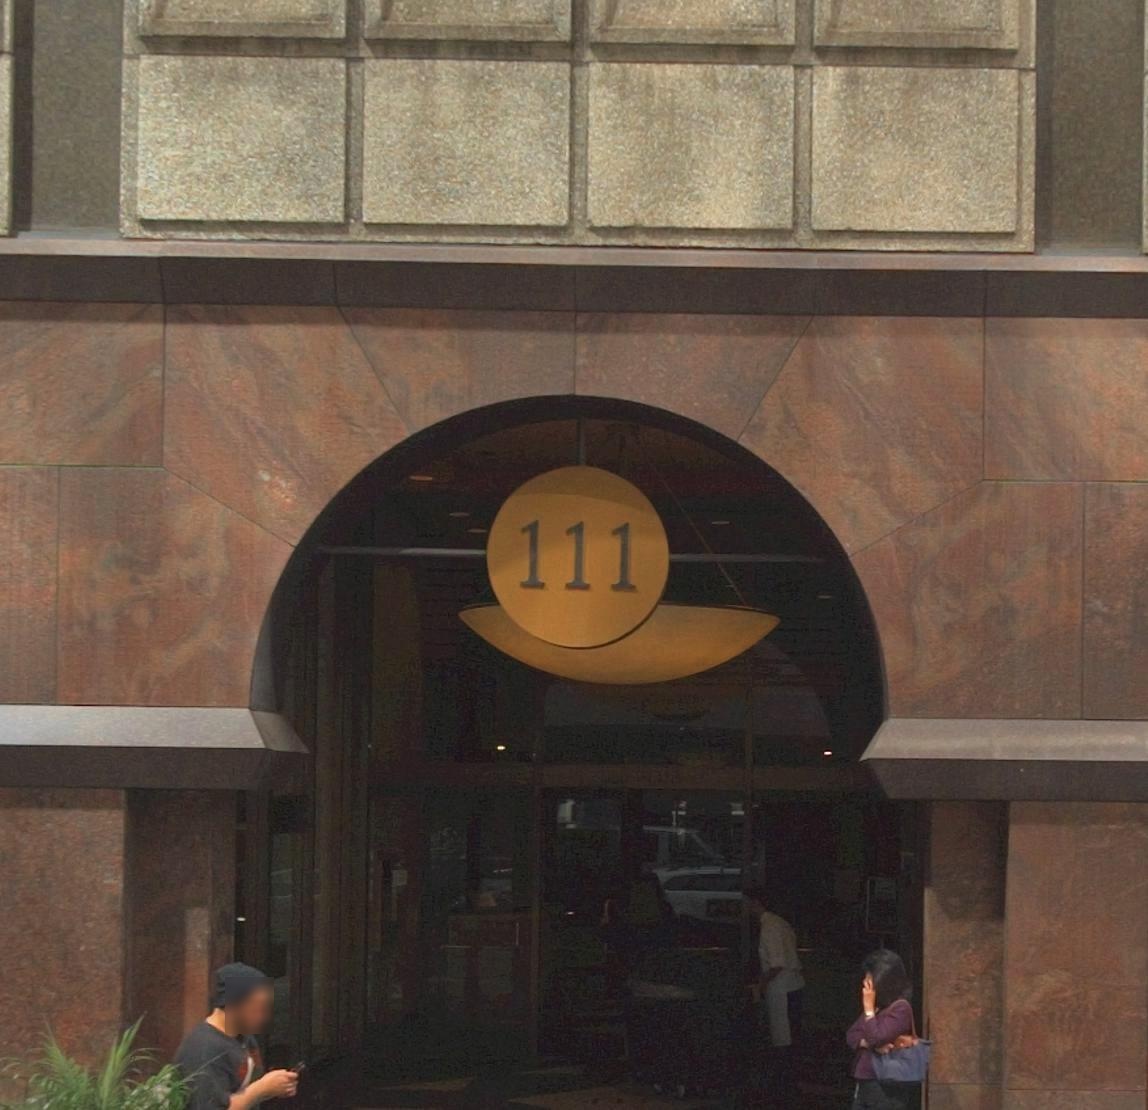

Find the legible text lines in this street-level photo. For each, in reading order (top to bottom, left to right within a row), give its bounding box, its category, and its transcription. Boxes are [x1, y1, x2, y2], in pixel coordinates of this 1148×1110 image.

[518, 518, 640, 593] StreetNumber: 111